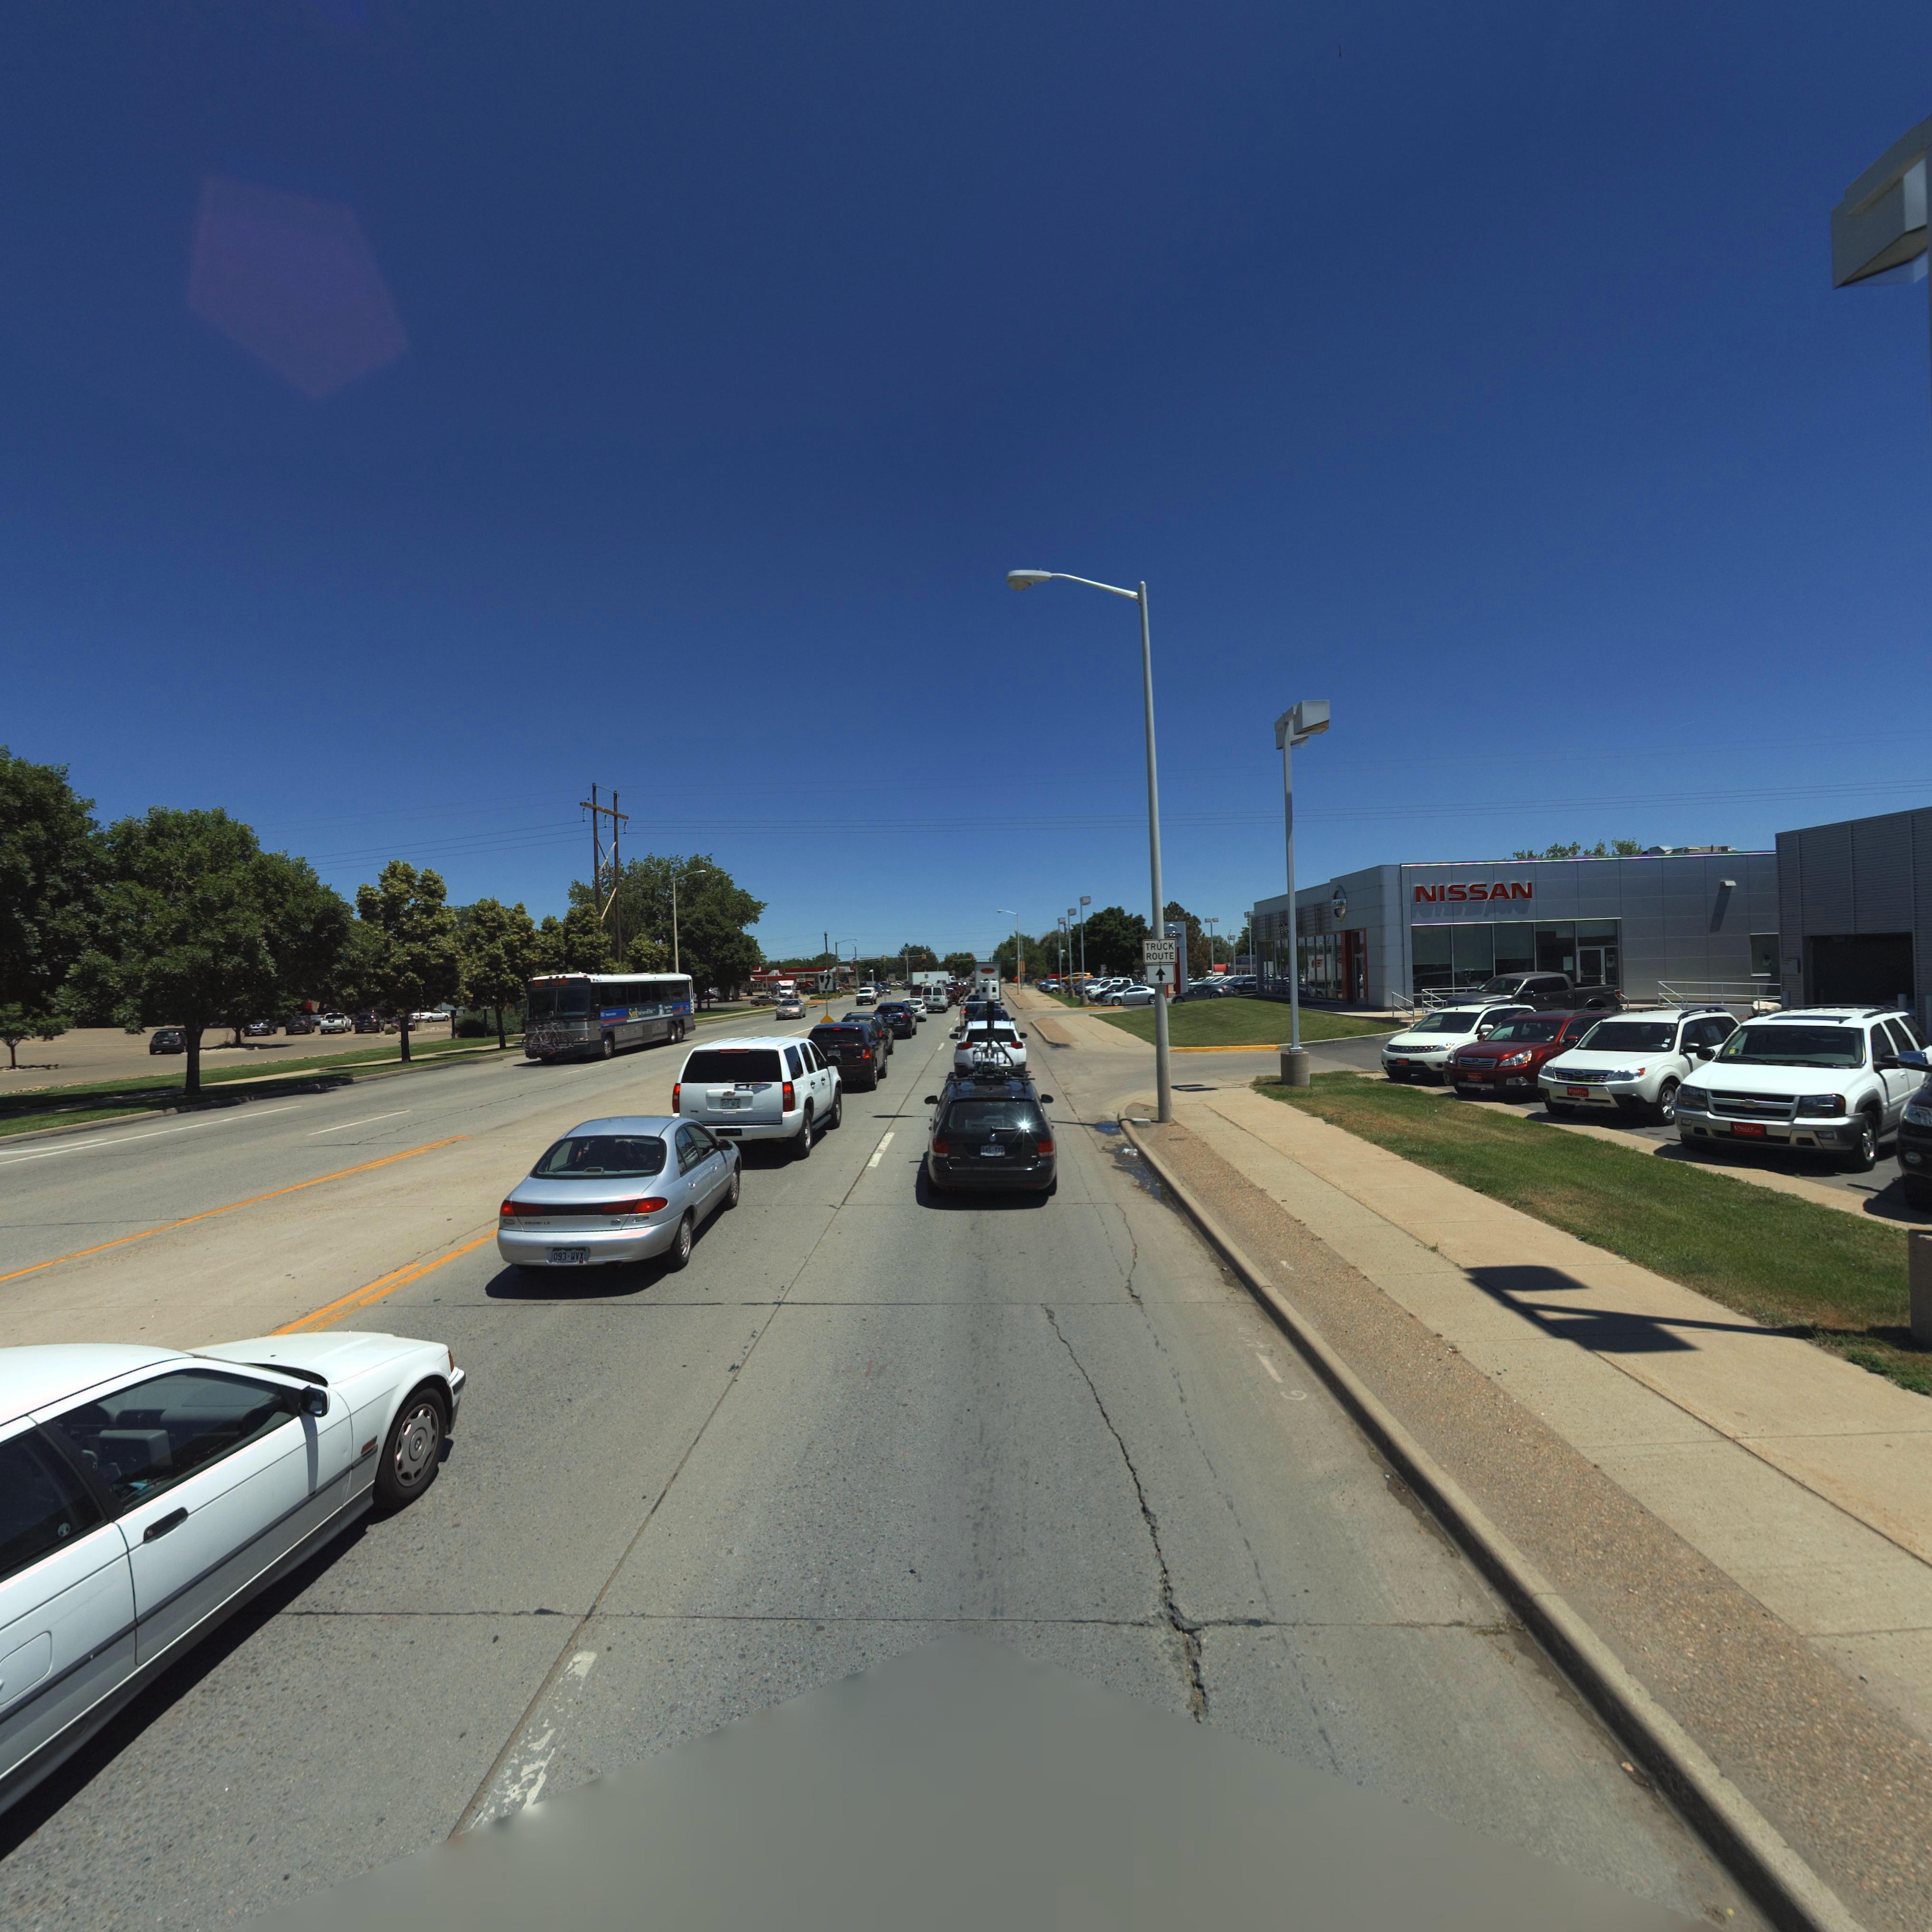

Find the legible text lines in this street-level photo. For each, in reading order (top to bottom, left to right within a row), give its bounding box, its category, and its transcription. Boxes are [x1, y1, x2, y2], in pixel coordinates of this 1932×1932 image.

[1414, 881, 1533, 903] BusinessName: NISSAN
[1334, 899, 1343, 907] BusinessName: SAN
[1277, 923, 1288, 934] BusinessName: Va**e